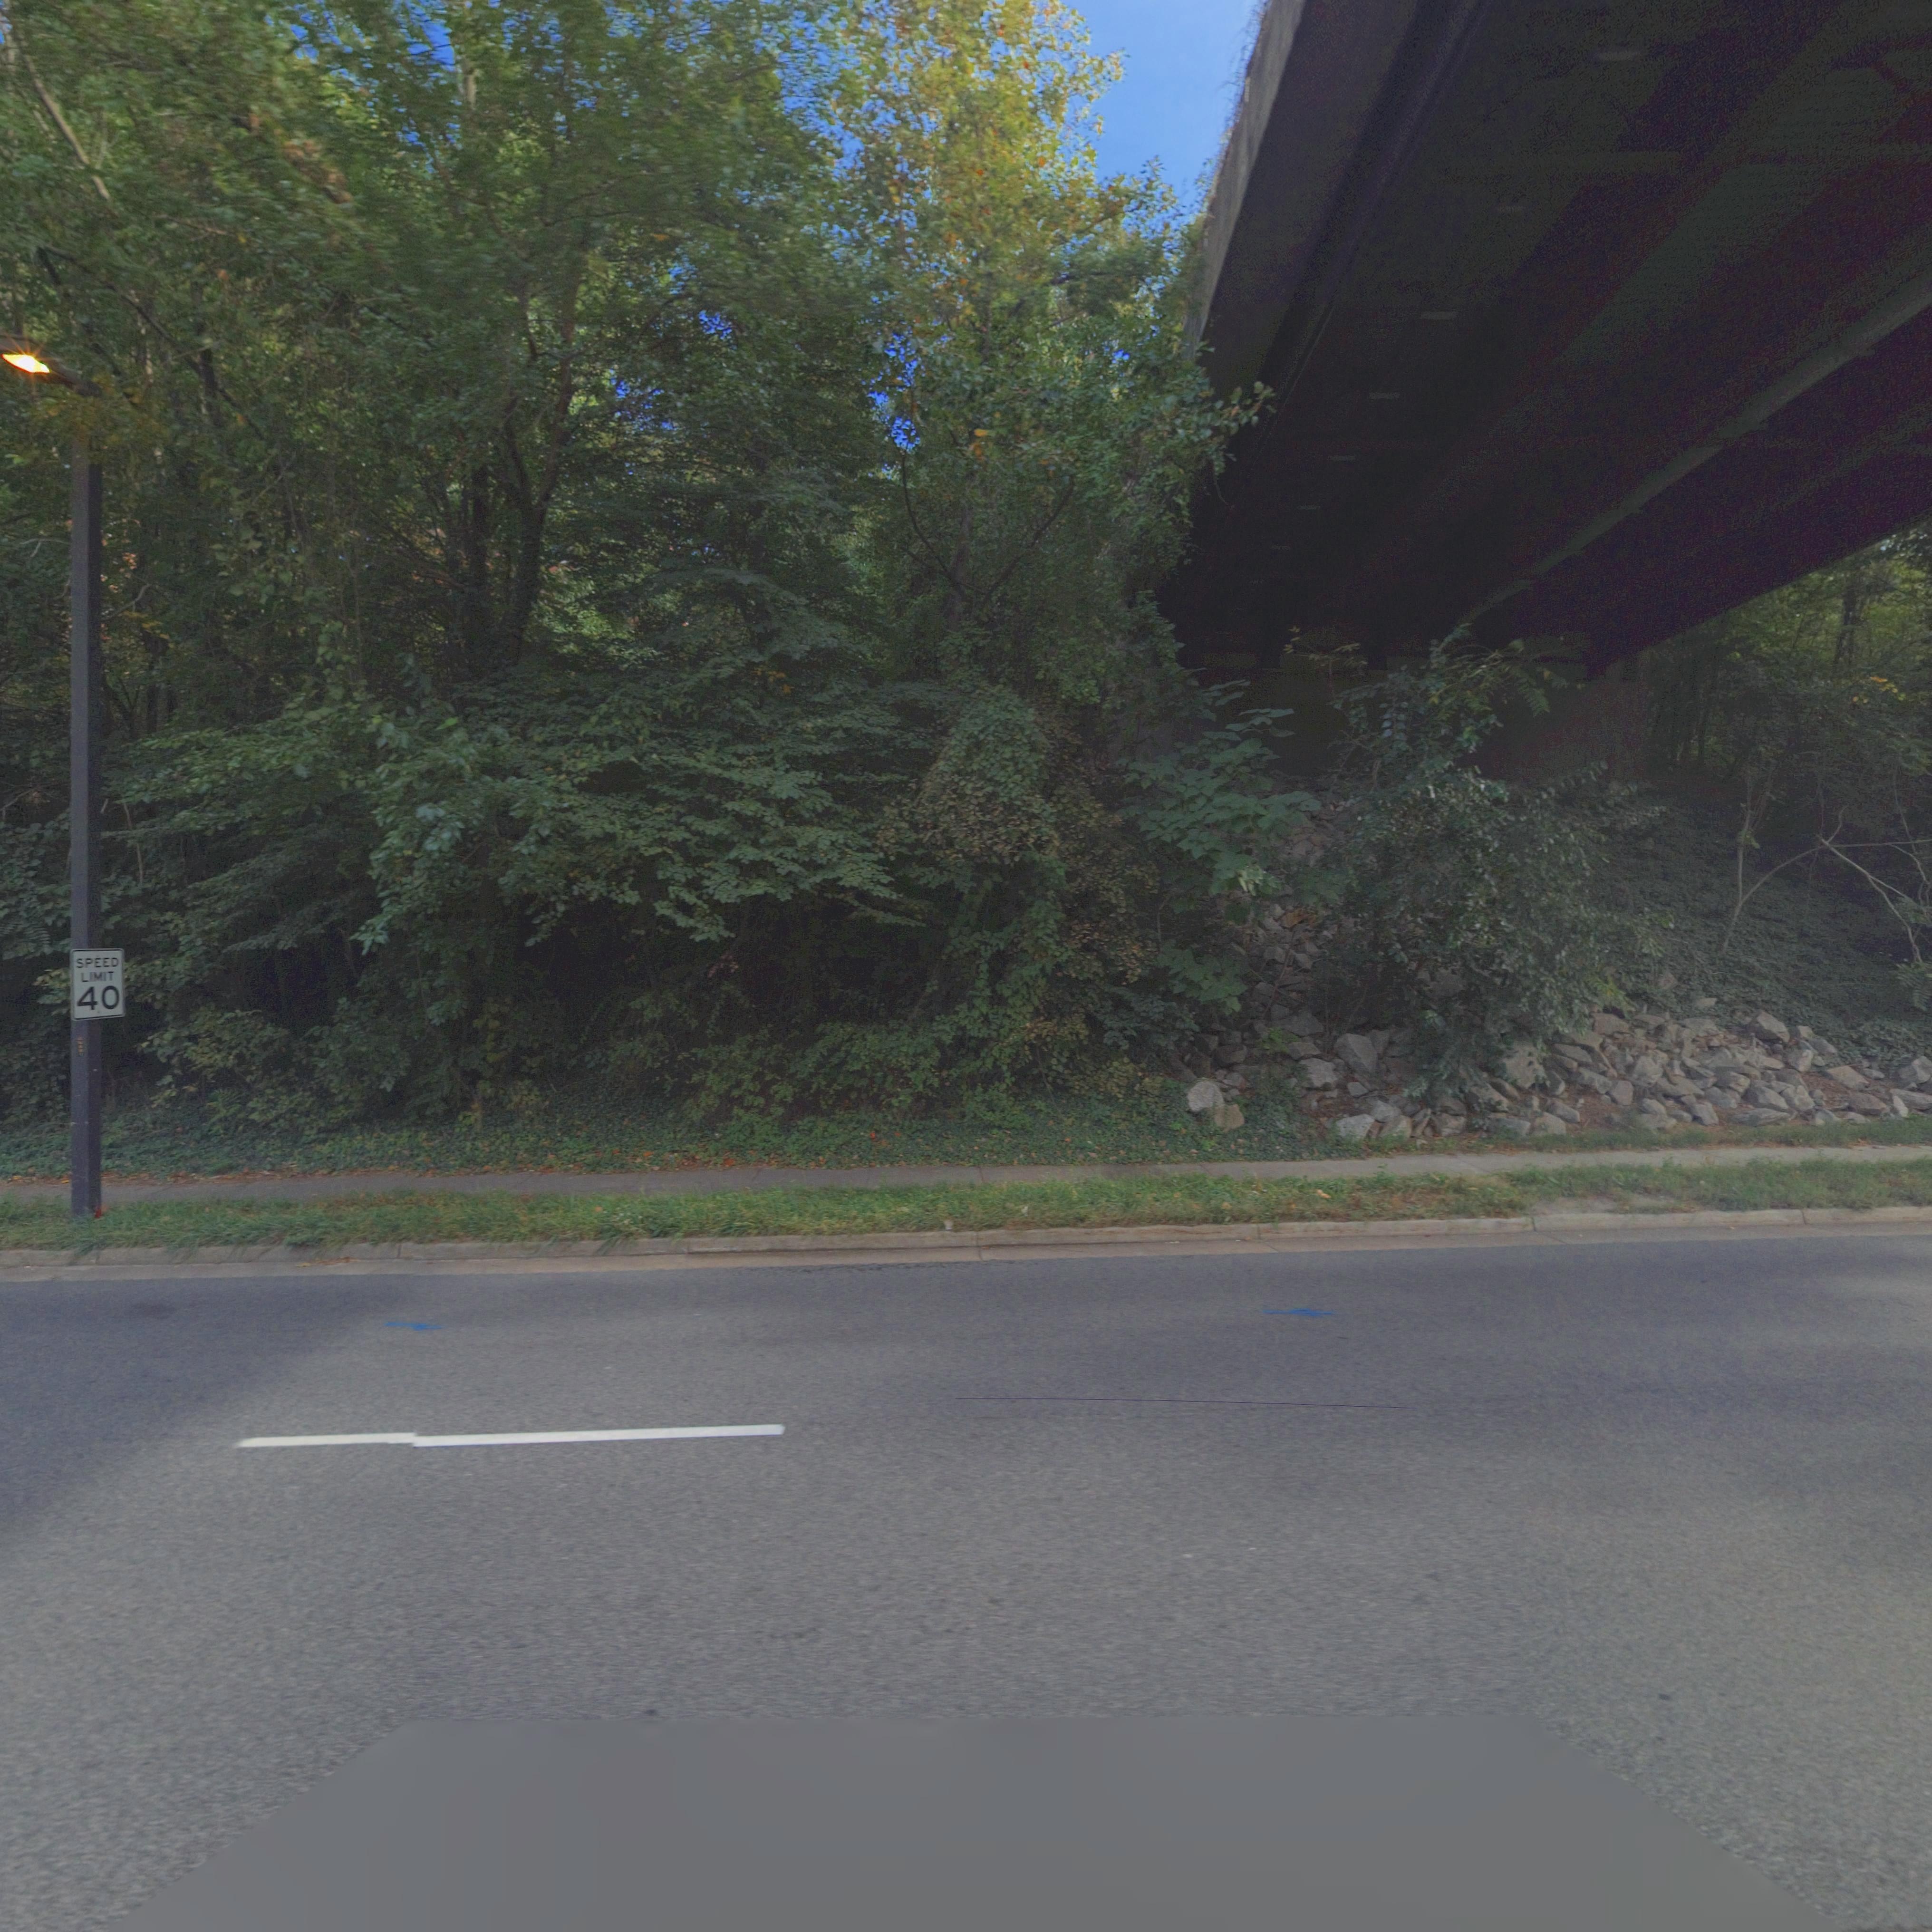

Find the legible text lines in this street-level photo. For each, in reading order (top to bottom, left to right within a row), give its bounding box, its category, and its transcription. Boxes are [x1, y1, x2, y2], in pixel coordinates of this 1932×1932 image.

[74, 955, 122, 970] None: SPEED
[79, 968, 116, 985] None: LIMIT
[72, 982, 122, 1013] None: 40